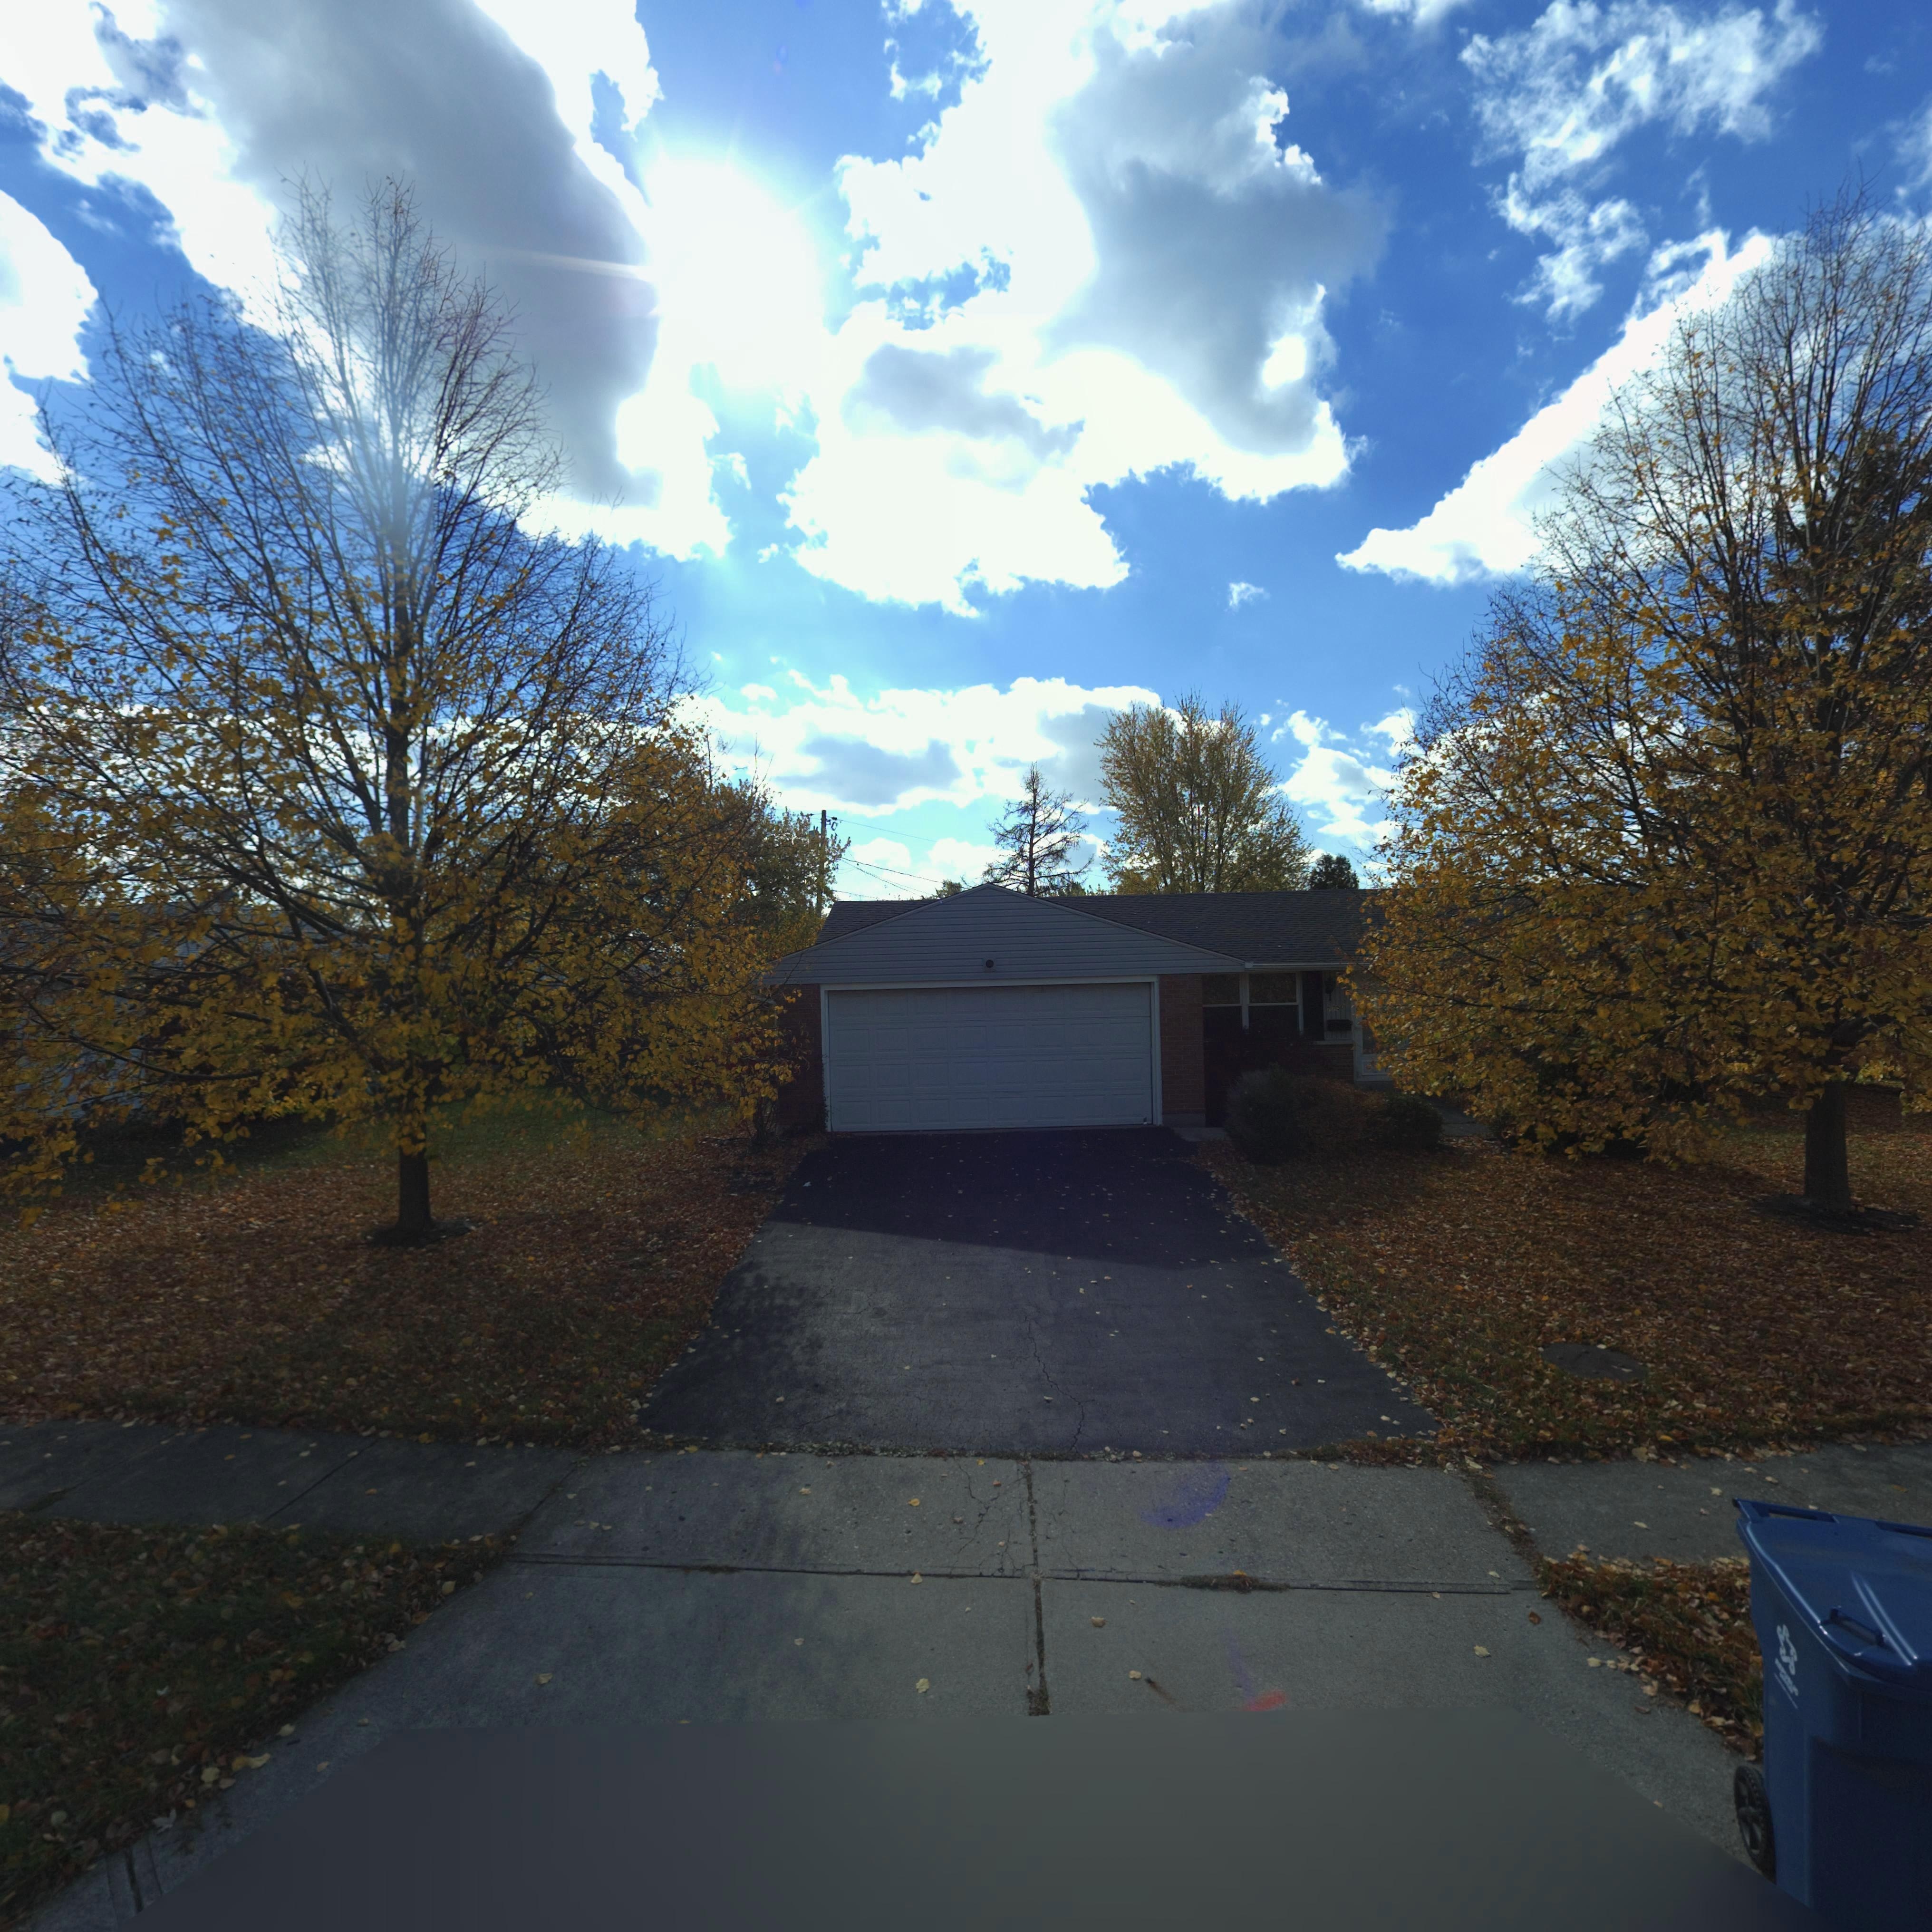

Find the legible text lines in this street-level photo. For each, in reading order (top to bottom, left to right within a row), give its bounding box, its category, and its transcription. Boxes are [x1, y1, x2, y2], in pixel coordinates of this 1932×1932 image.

[1326, 1003, 1345, 1013] StreetNumber: 7750